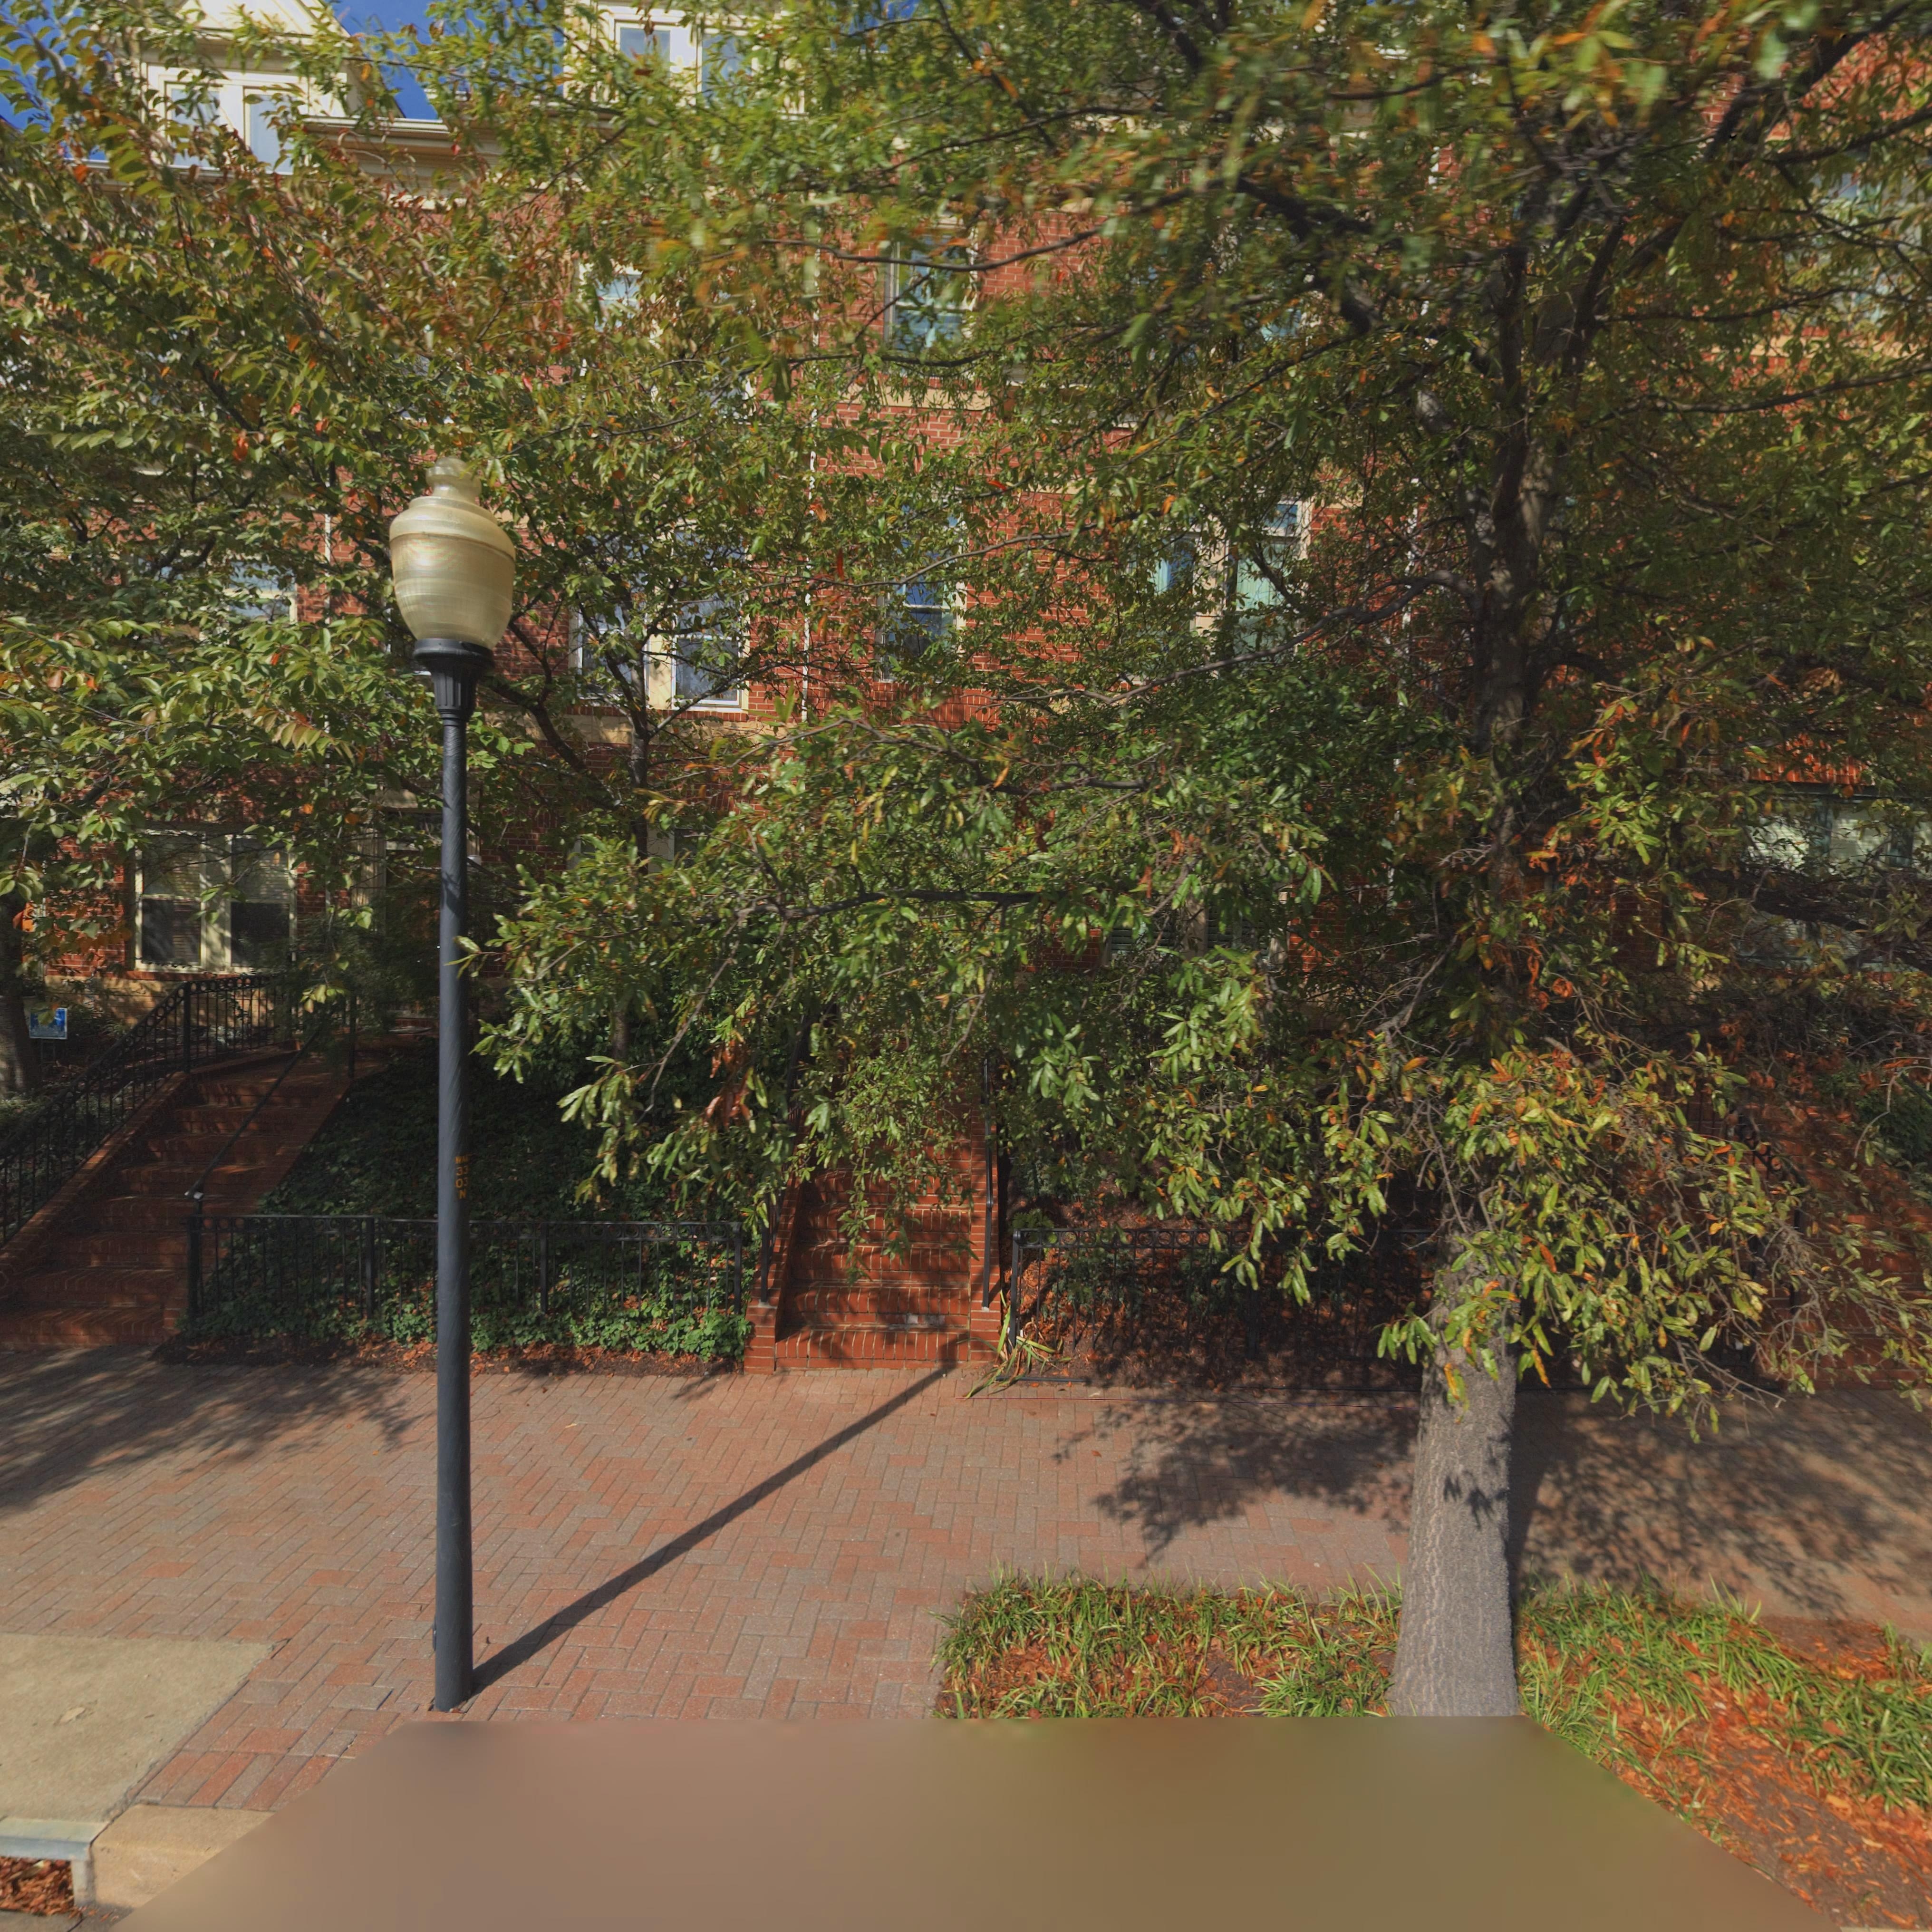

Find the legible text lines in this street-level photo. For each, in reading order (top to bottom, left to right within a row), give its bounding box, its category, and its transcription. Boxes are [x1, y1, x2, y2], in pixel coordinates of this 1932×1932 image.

[455, 1155, 466, 1165] None: WA
[455, 1165, 469, 1177] None: 33
[455, 1176, 469, 1189] None: 03
[459, 1188, 466, 1200] None: N